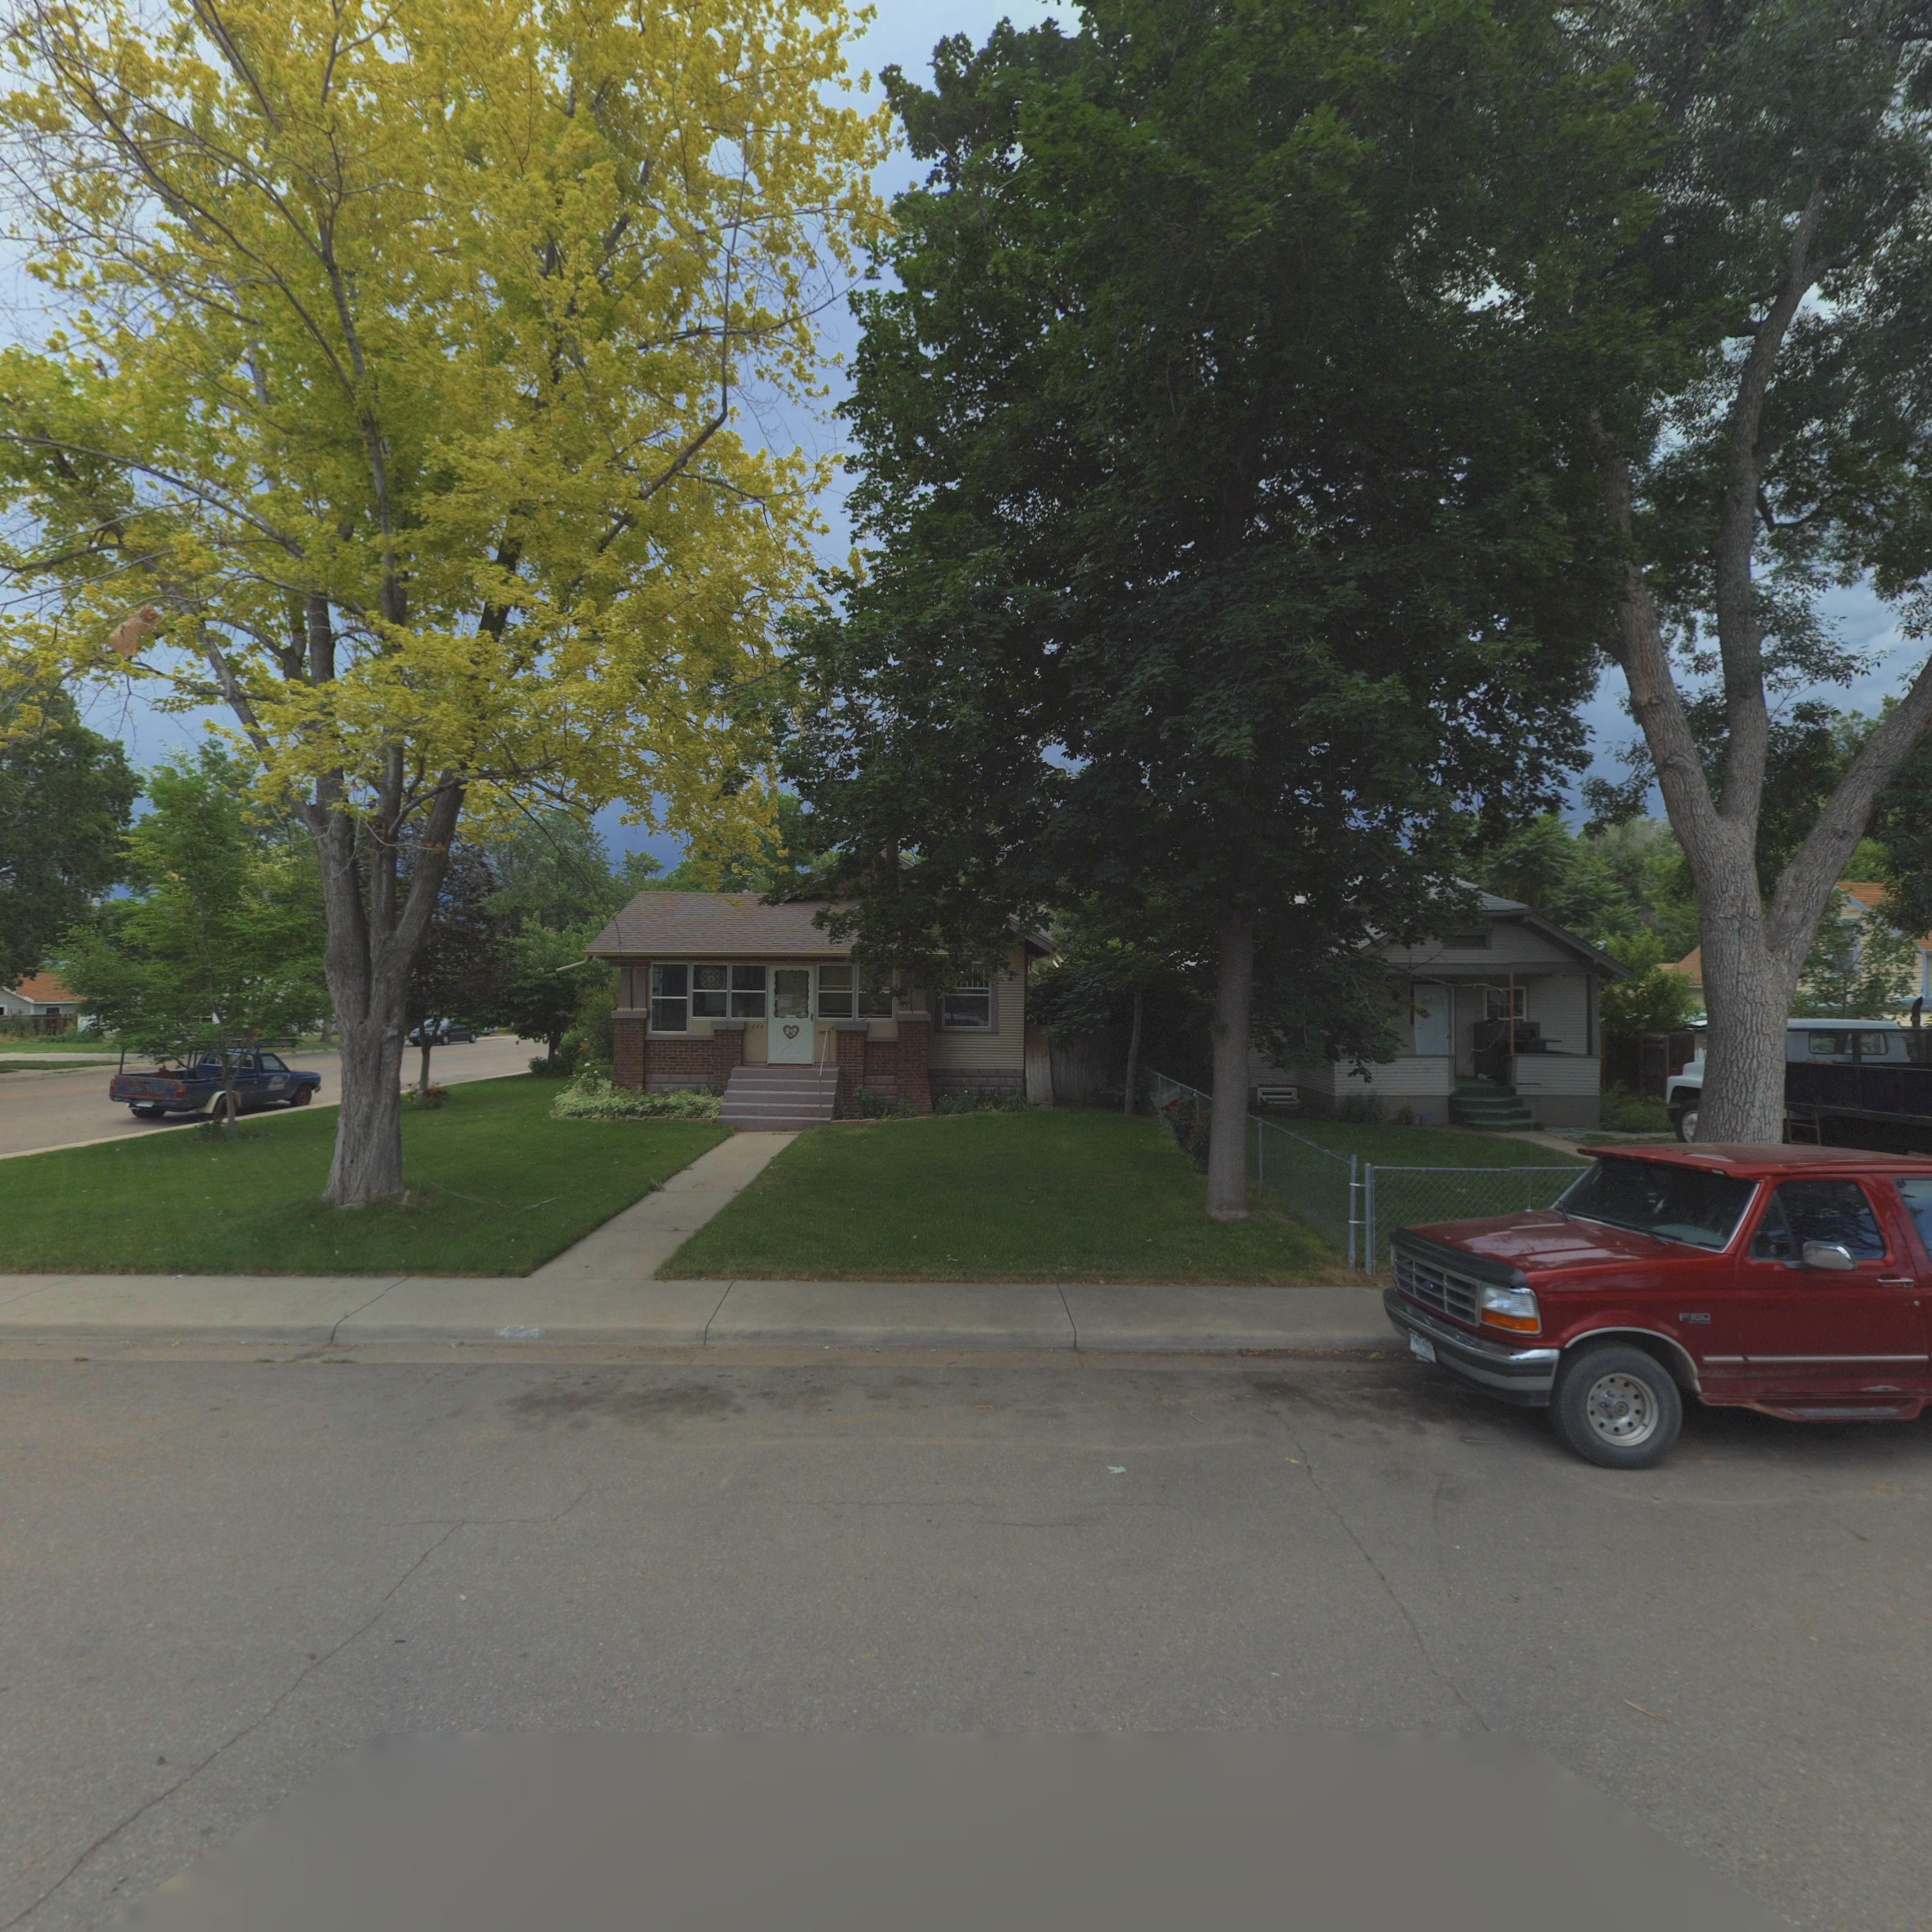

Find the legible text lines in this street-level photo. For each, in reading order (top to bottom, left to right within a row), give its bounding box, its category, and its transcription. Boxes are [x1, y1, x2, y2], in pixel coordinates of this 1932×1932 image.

[751, 1023, 764, 1029] StreetNumber: 444
[497, 1324, 541, 1339] StreetNumber: 444